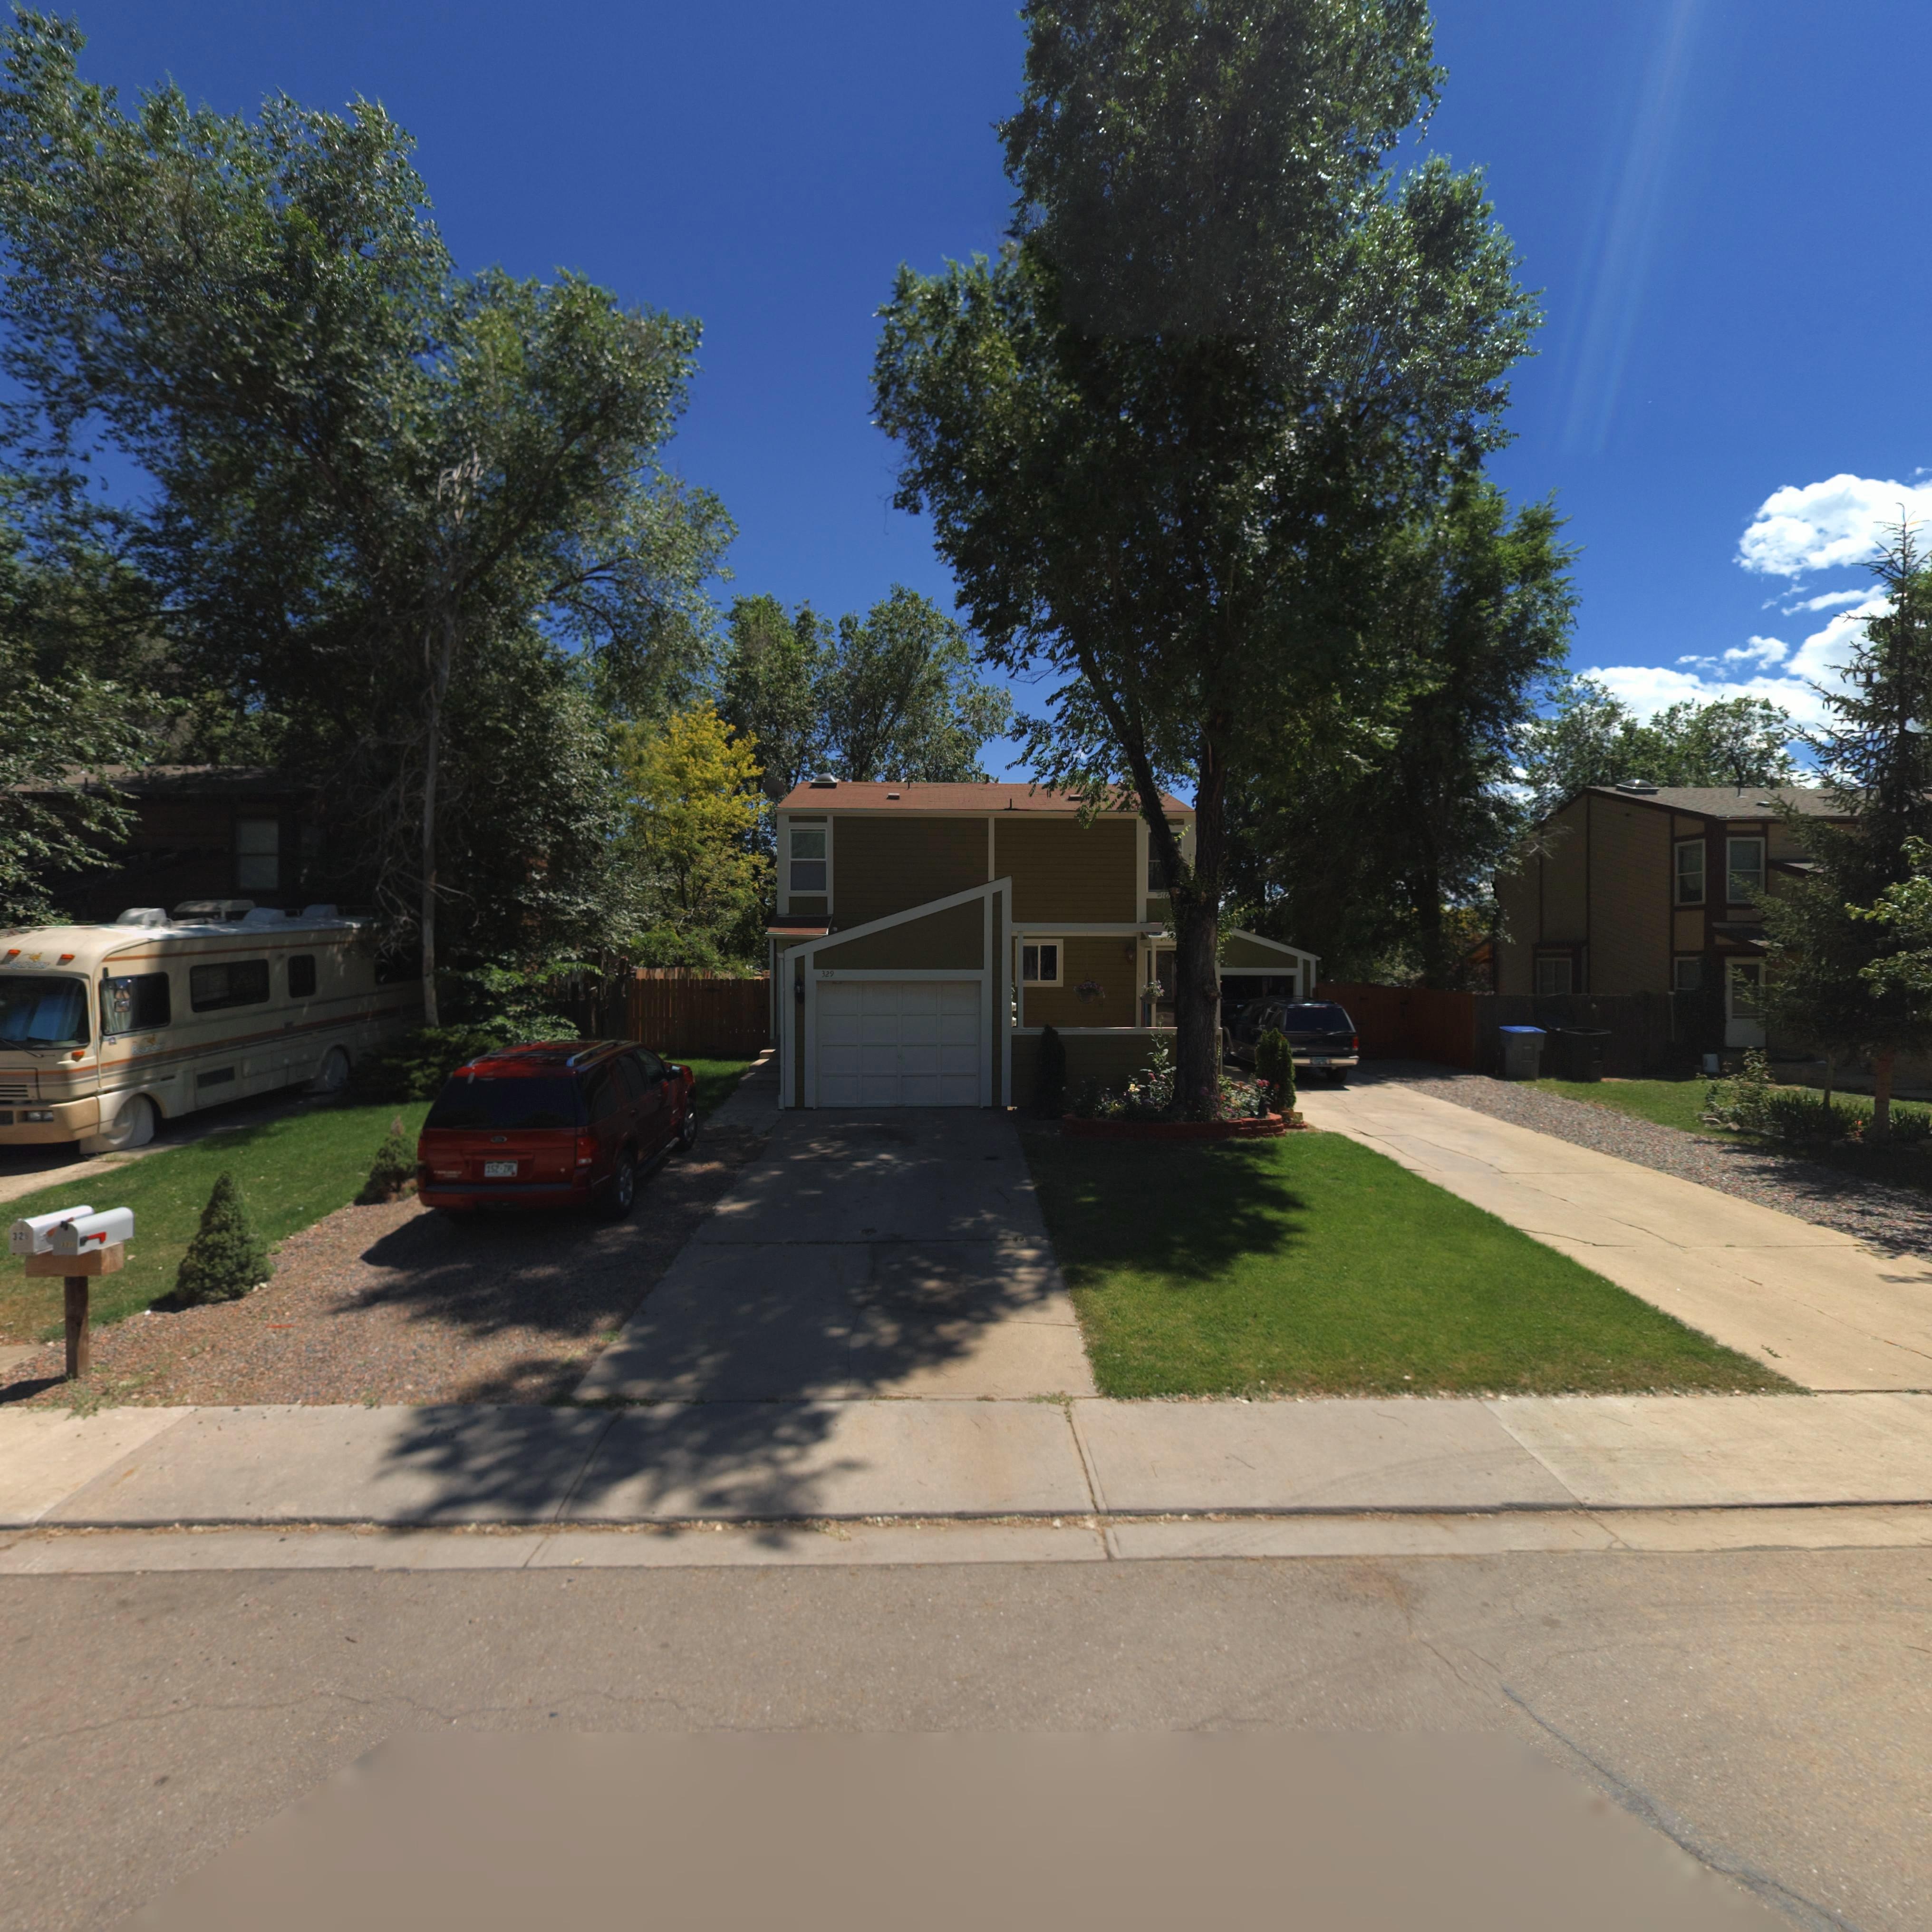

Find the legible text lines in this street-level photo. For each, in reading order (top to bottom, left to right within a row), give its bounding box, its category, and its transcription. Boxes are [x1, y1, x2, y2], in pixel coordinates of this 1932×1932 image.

[821, 970, 834, 977] StreetNumber: 329
[12, 1231, 29, 1240] StreetNumber: 32*
[61, 1241, 73, 1247] StreetNumber: *3*